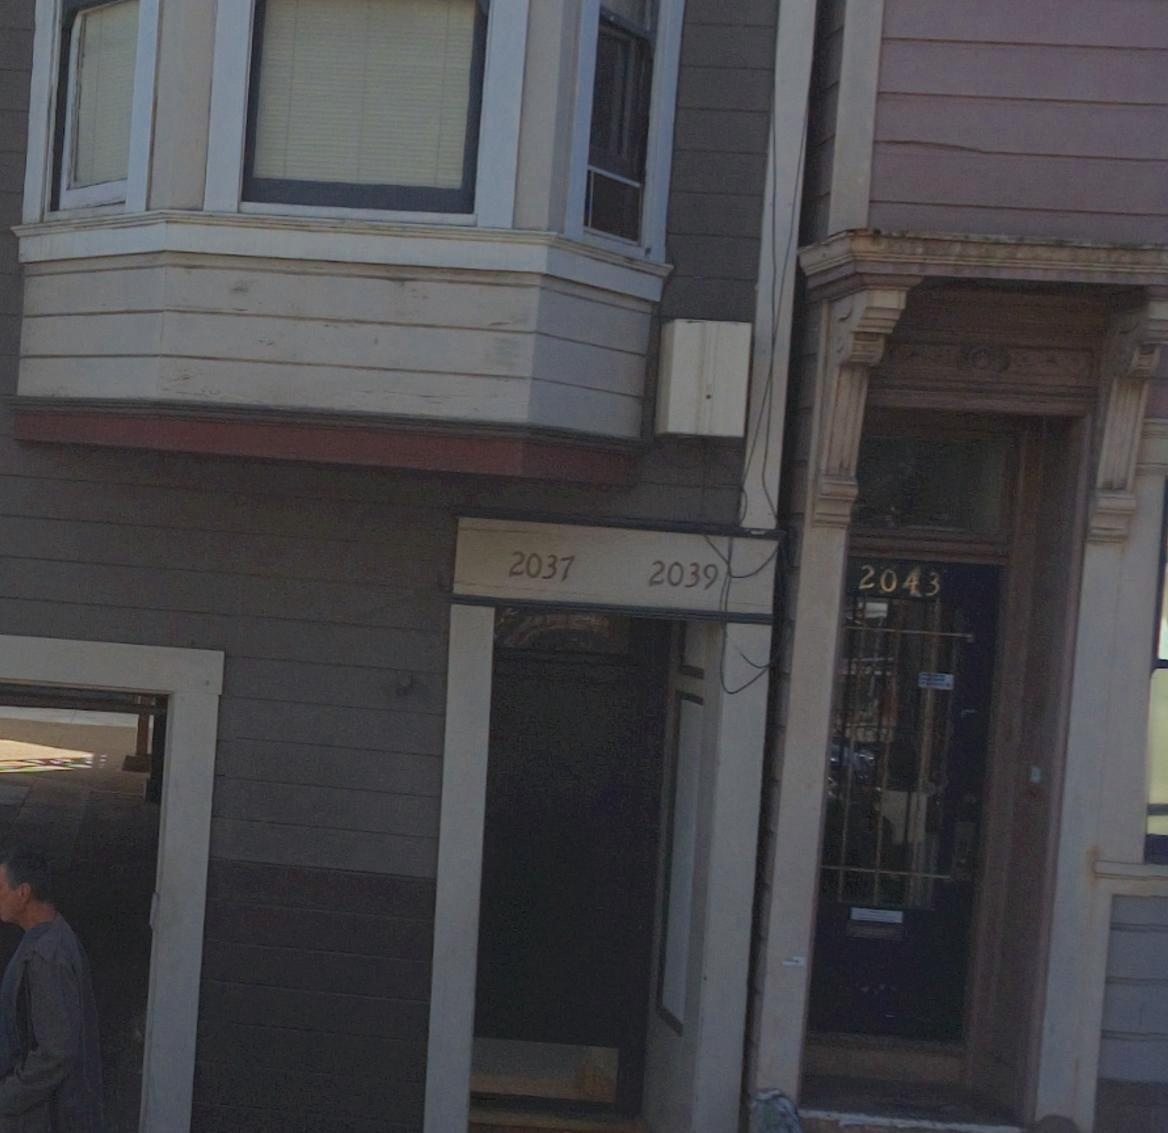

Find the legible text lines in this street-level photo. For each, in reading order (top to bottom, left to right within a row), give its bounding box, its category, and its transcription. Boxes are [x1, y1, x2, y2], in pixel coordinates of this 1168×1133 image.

[505, 549, 580, 584] StreetNumber: 2037
[646, 558, 721, 595] StreetNumber: 2039
[857, 563, 943, 599] StreetNumber: 2043